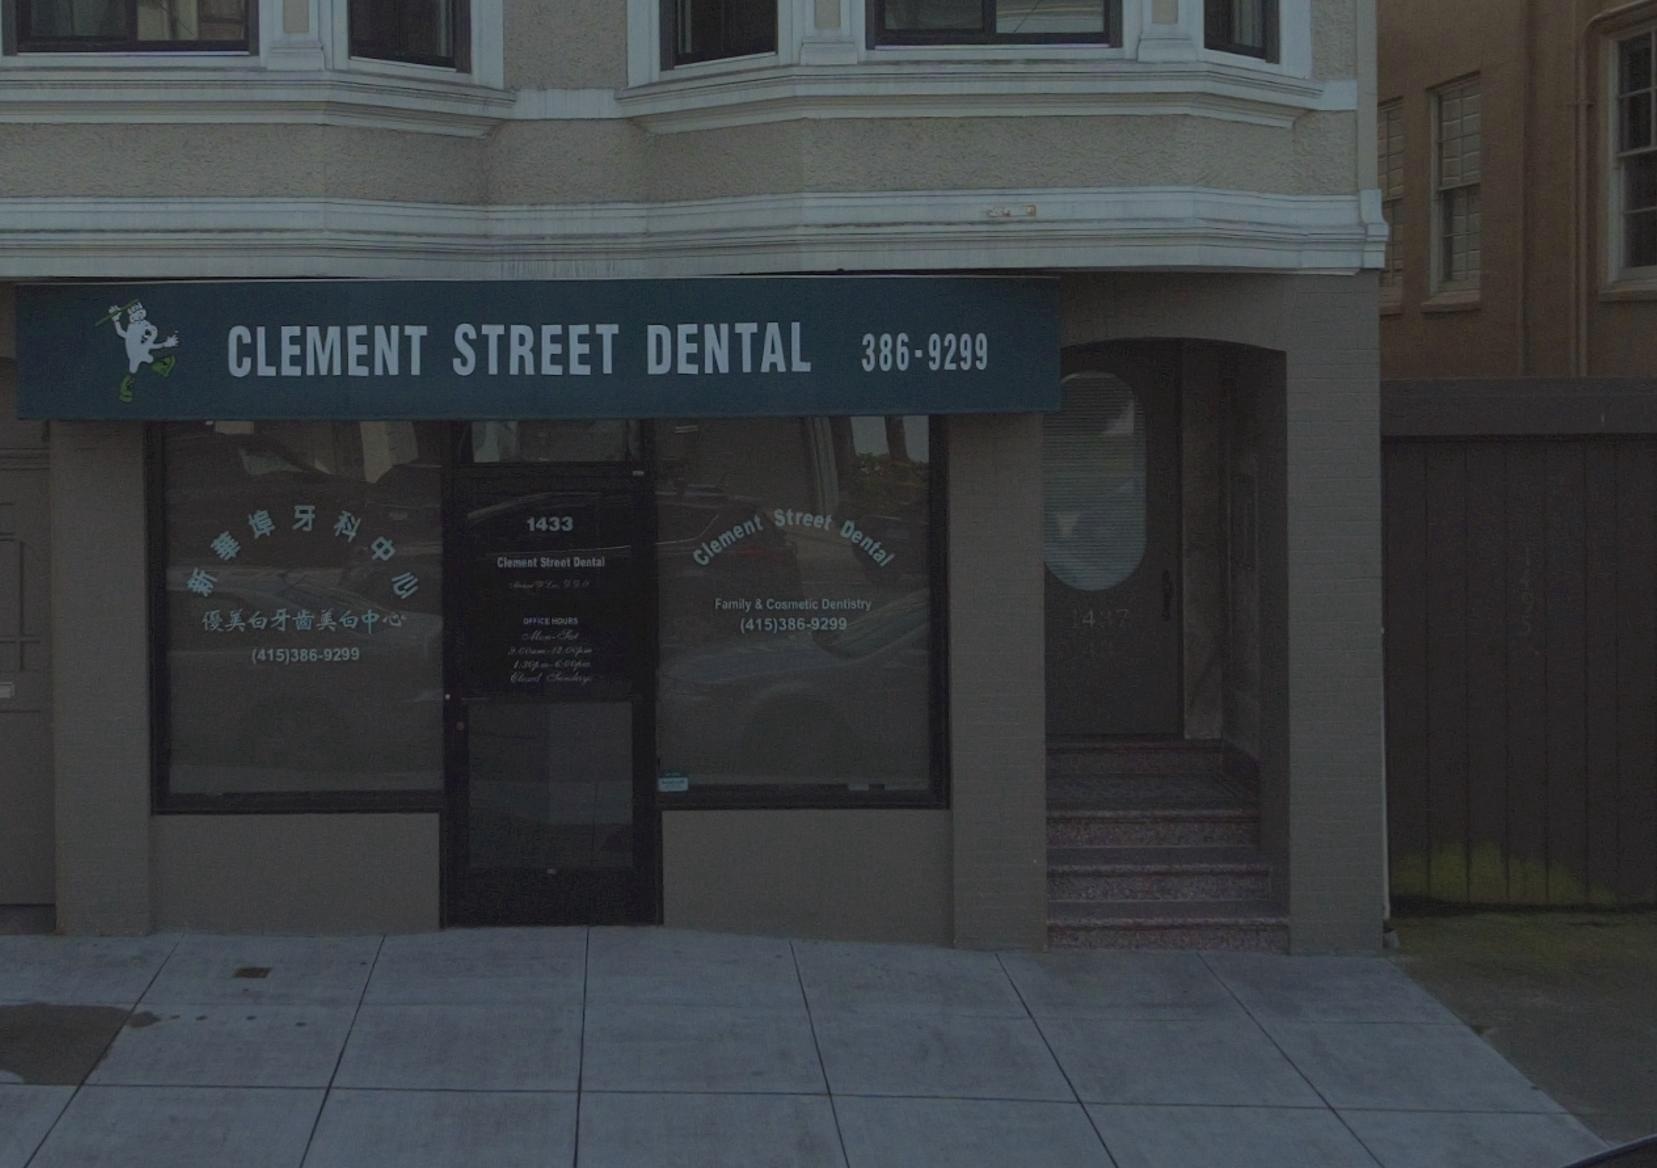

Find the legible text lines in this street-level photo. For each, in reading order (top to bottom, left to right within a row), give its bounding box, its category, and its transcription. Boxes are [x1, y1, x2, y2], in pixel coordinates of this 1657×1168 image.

[226, 321, 813, 379] BusinessName: CLEMENT STREET DENTAL
[859, 330, 990, 372] None: 386-9299
[526, 515, 575, 533] StreetNumber: 1433
[690, 506, 897, 570] BusinessName: Clement Street Dental
[496, 556, 606, 569] BusinessName: Clement Street Dental
[713, 597, 872, 613] None: Family & Cosmetic Dentistry
[522, 616, 579, 626] None: OFFICE HOURS
[737, 616, 848, 635] None: (415)386-9299
[1071, 606, 1130, 631] StreetNumber: 1437
[251, 647, 361, 666] None: (415)386-9299